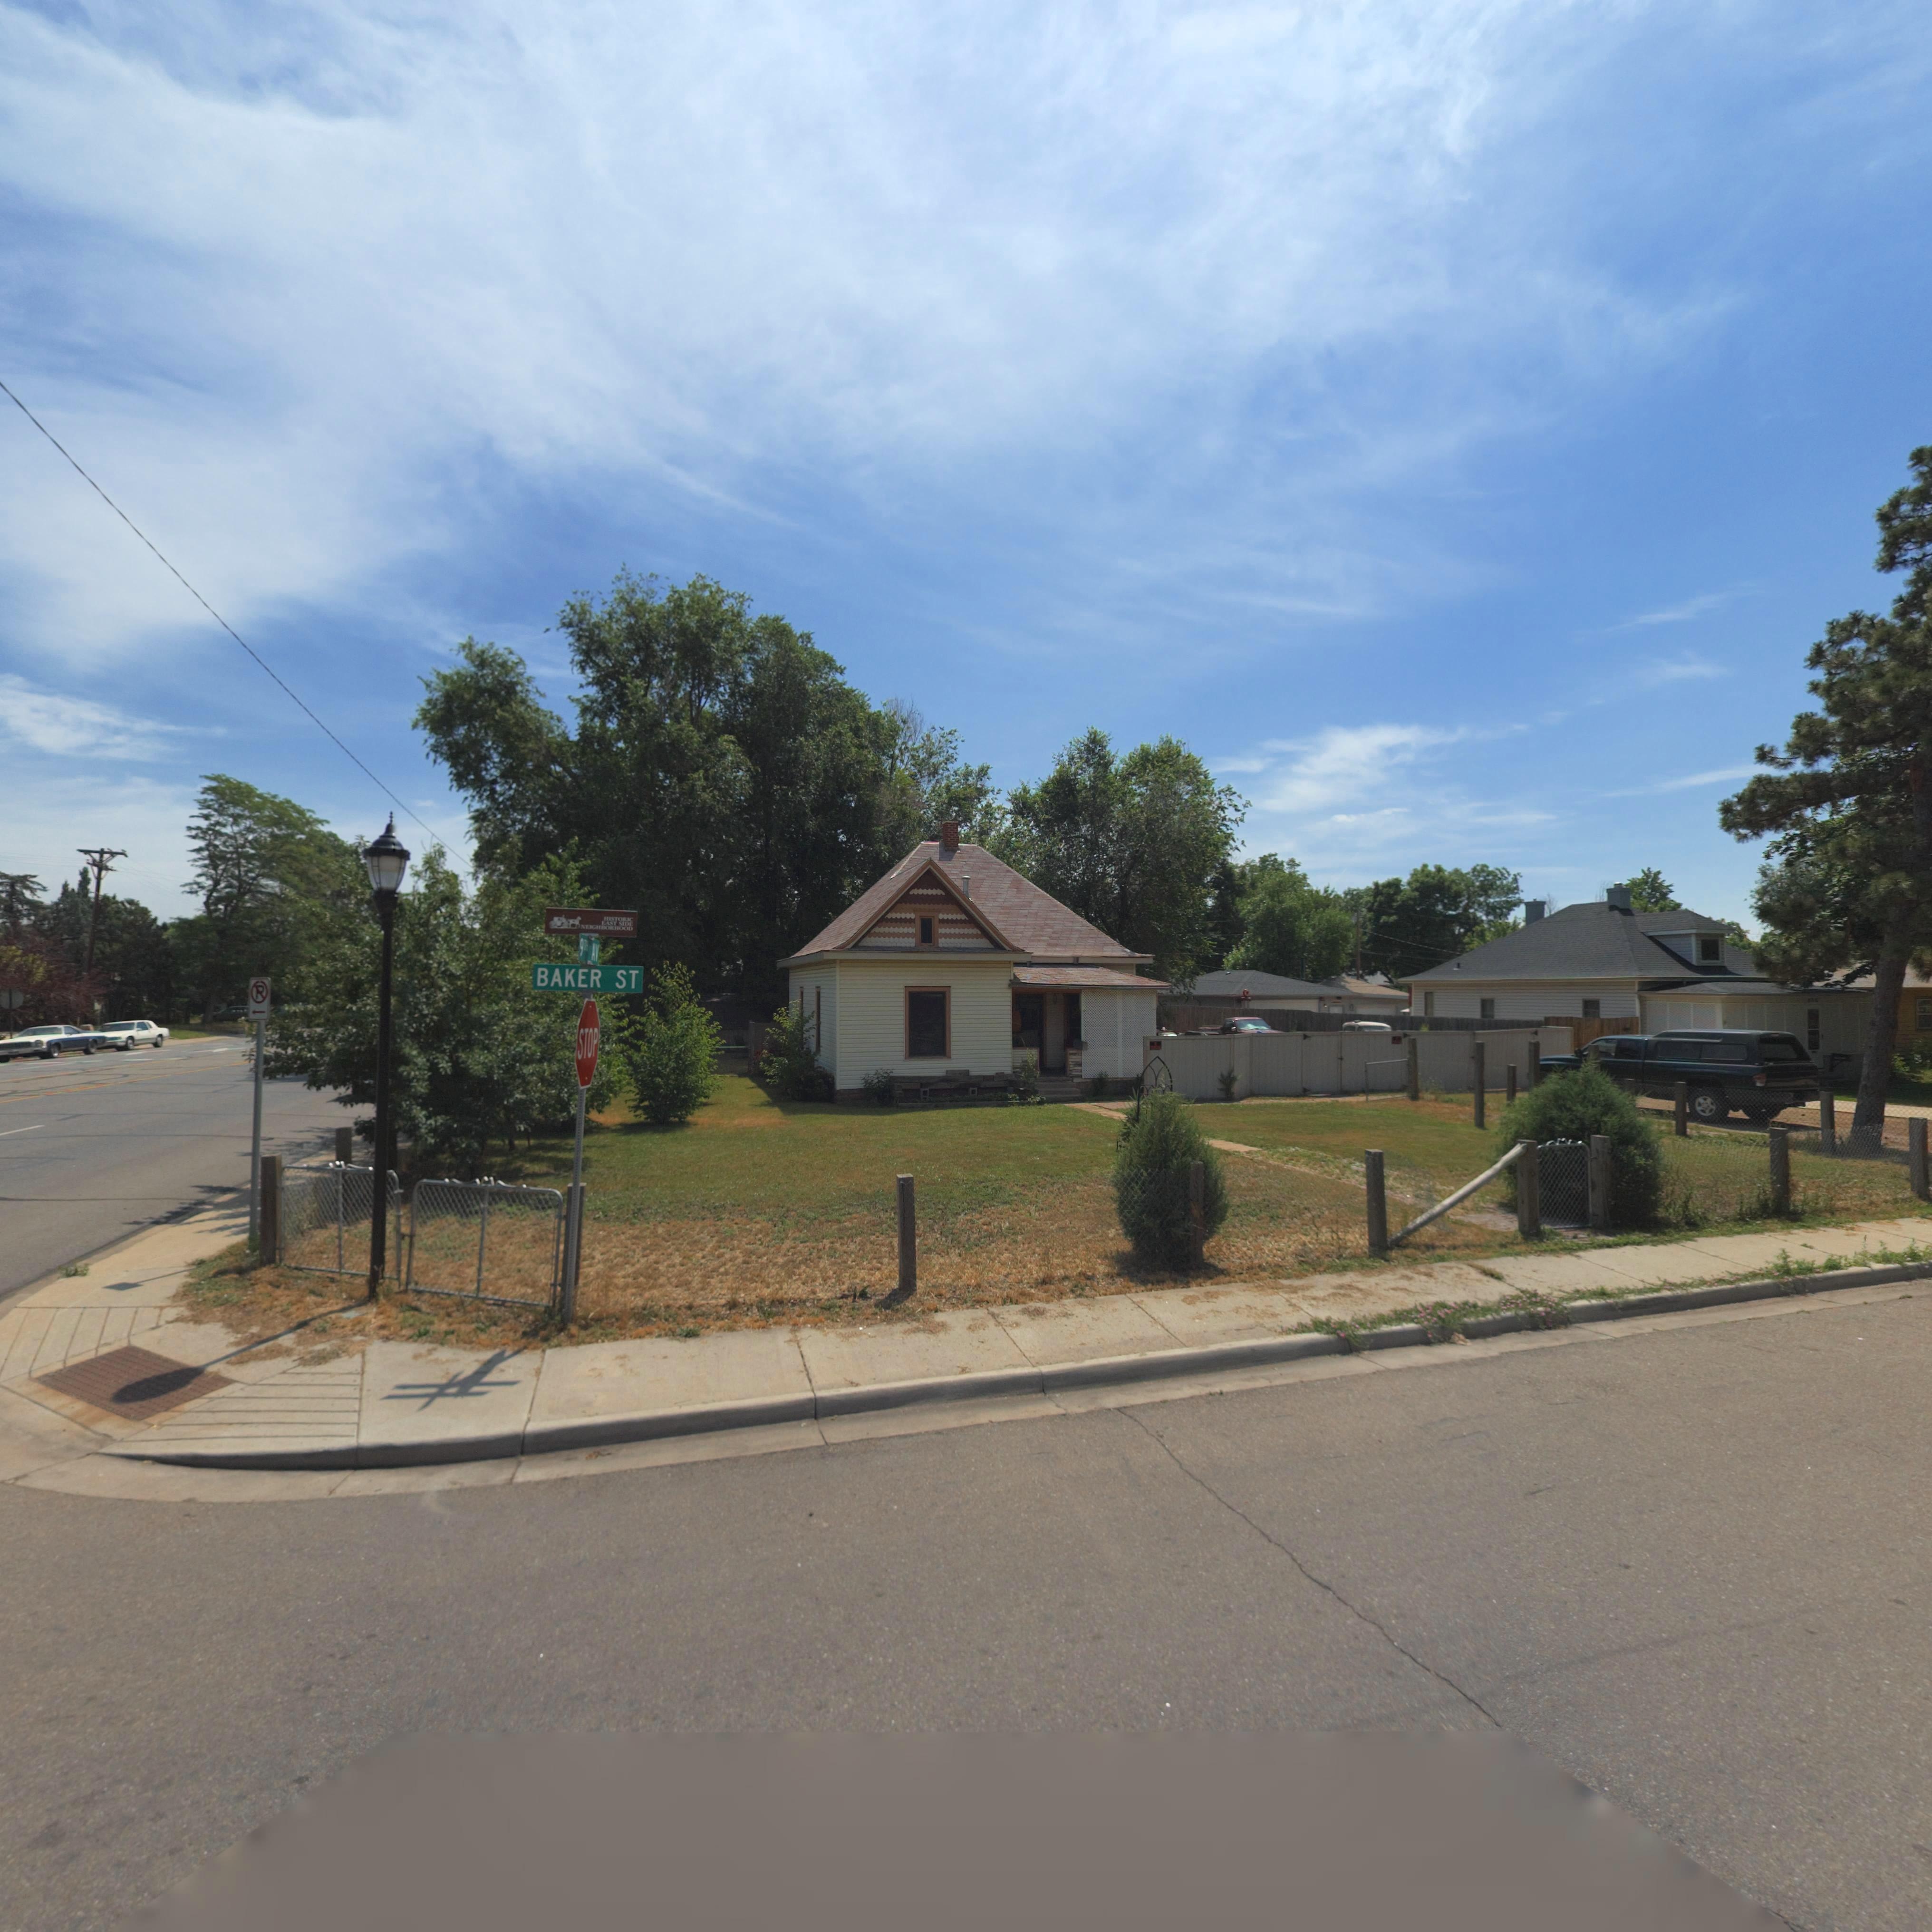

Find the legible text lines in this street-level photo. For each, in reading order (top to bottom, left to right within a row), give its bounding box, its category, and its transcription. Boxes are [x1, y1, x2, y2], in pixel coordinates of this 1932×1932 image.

[579, 937, 600, 962] StreetName: 9TH AV
[536, 966, 640, 989] StreetName: BAKER ST